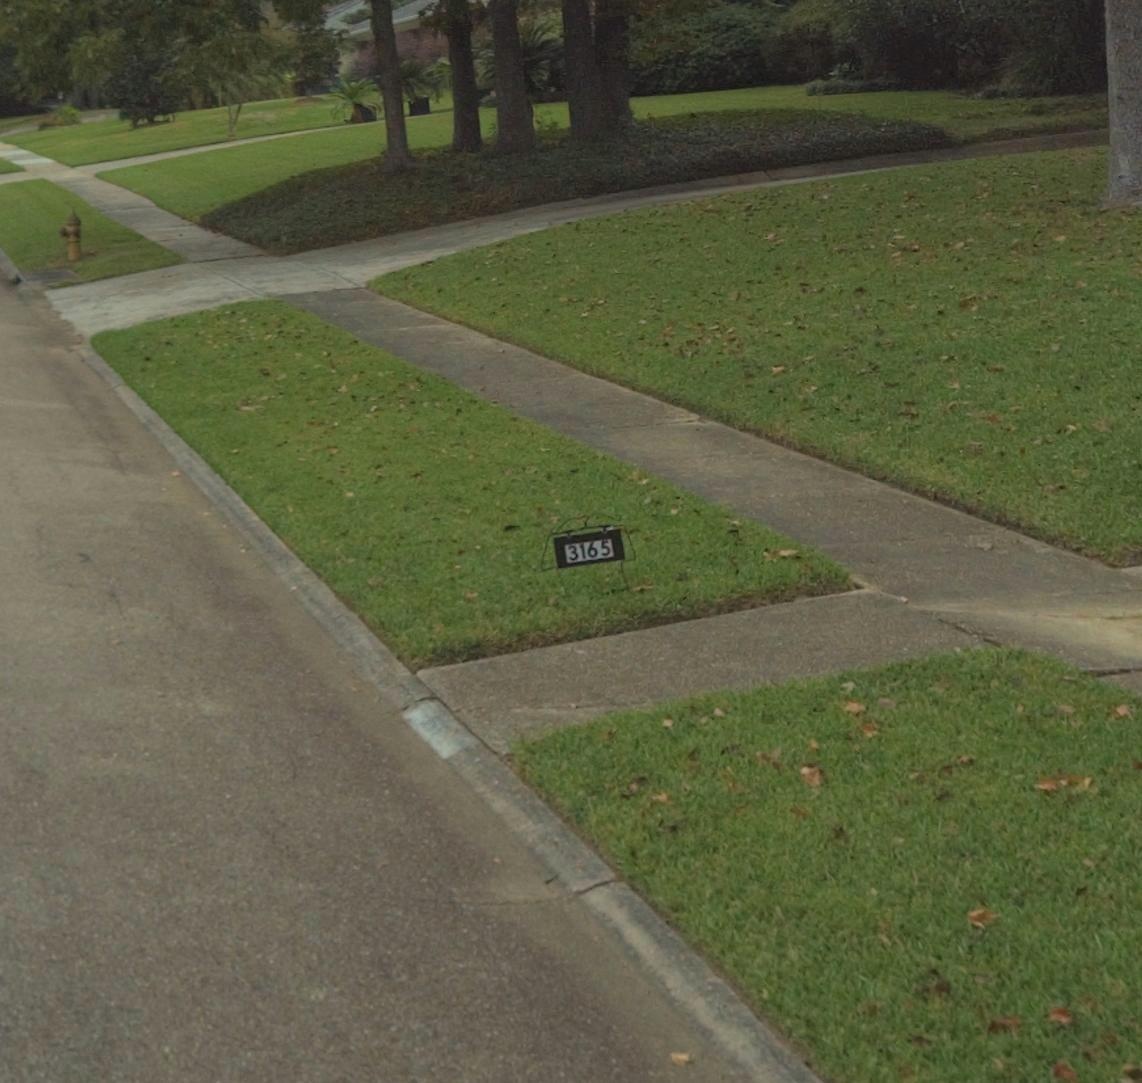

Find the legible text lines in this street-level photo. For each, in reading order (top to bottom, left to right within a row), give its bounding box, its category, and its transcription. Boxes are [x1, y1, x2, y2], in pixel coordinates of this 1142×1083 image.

[567, 538, 612, 562] StreetNumber: 3165